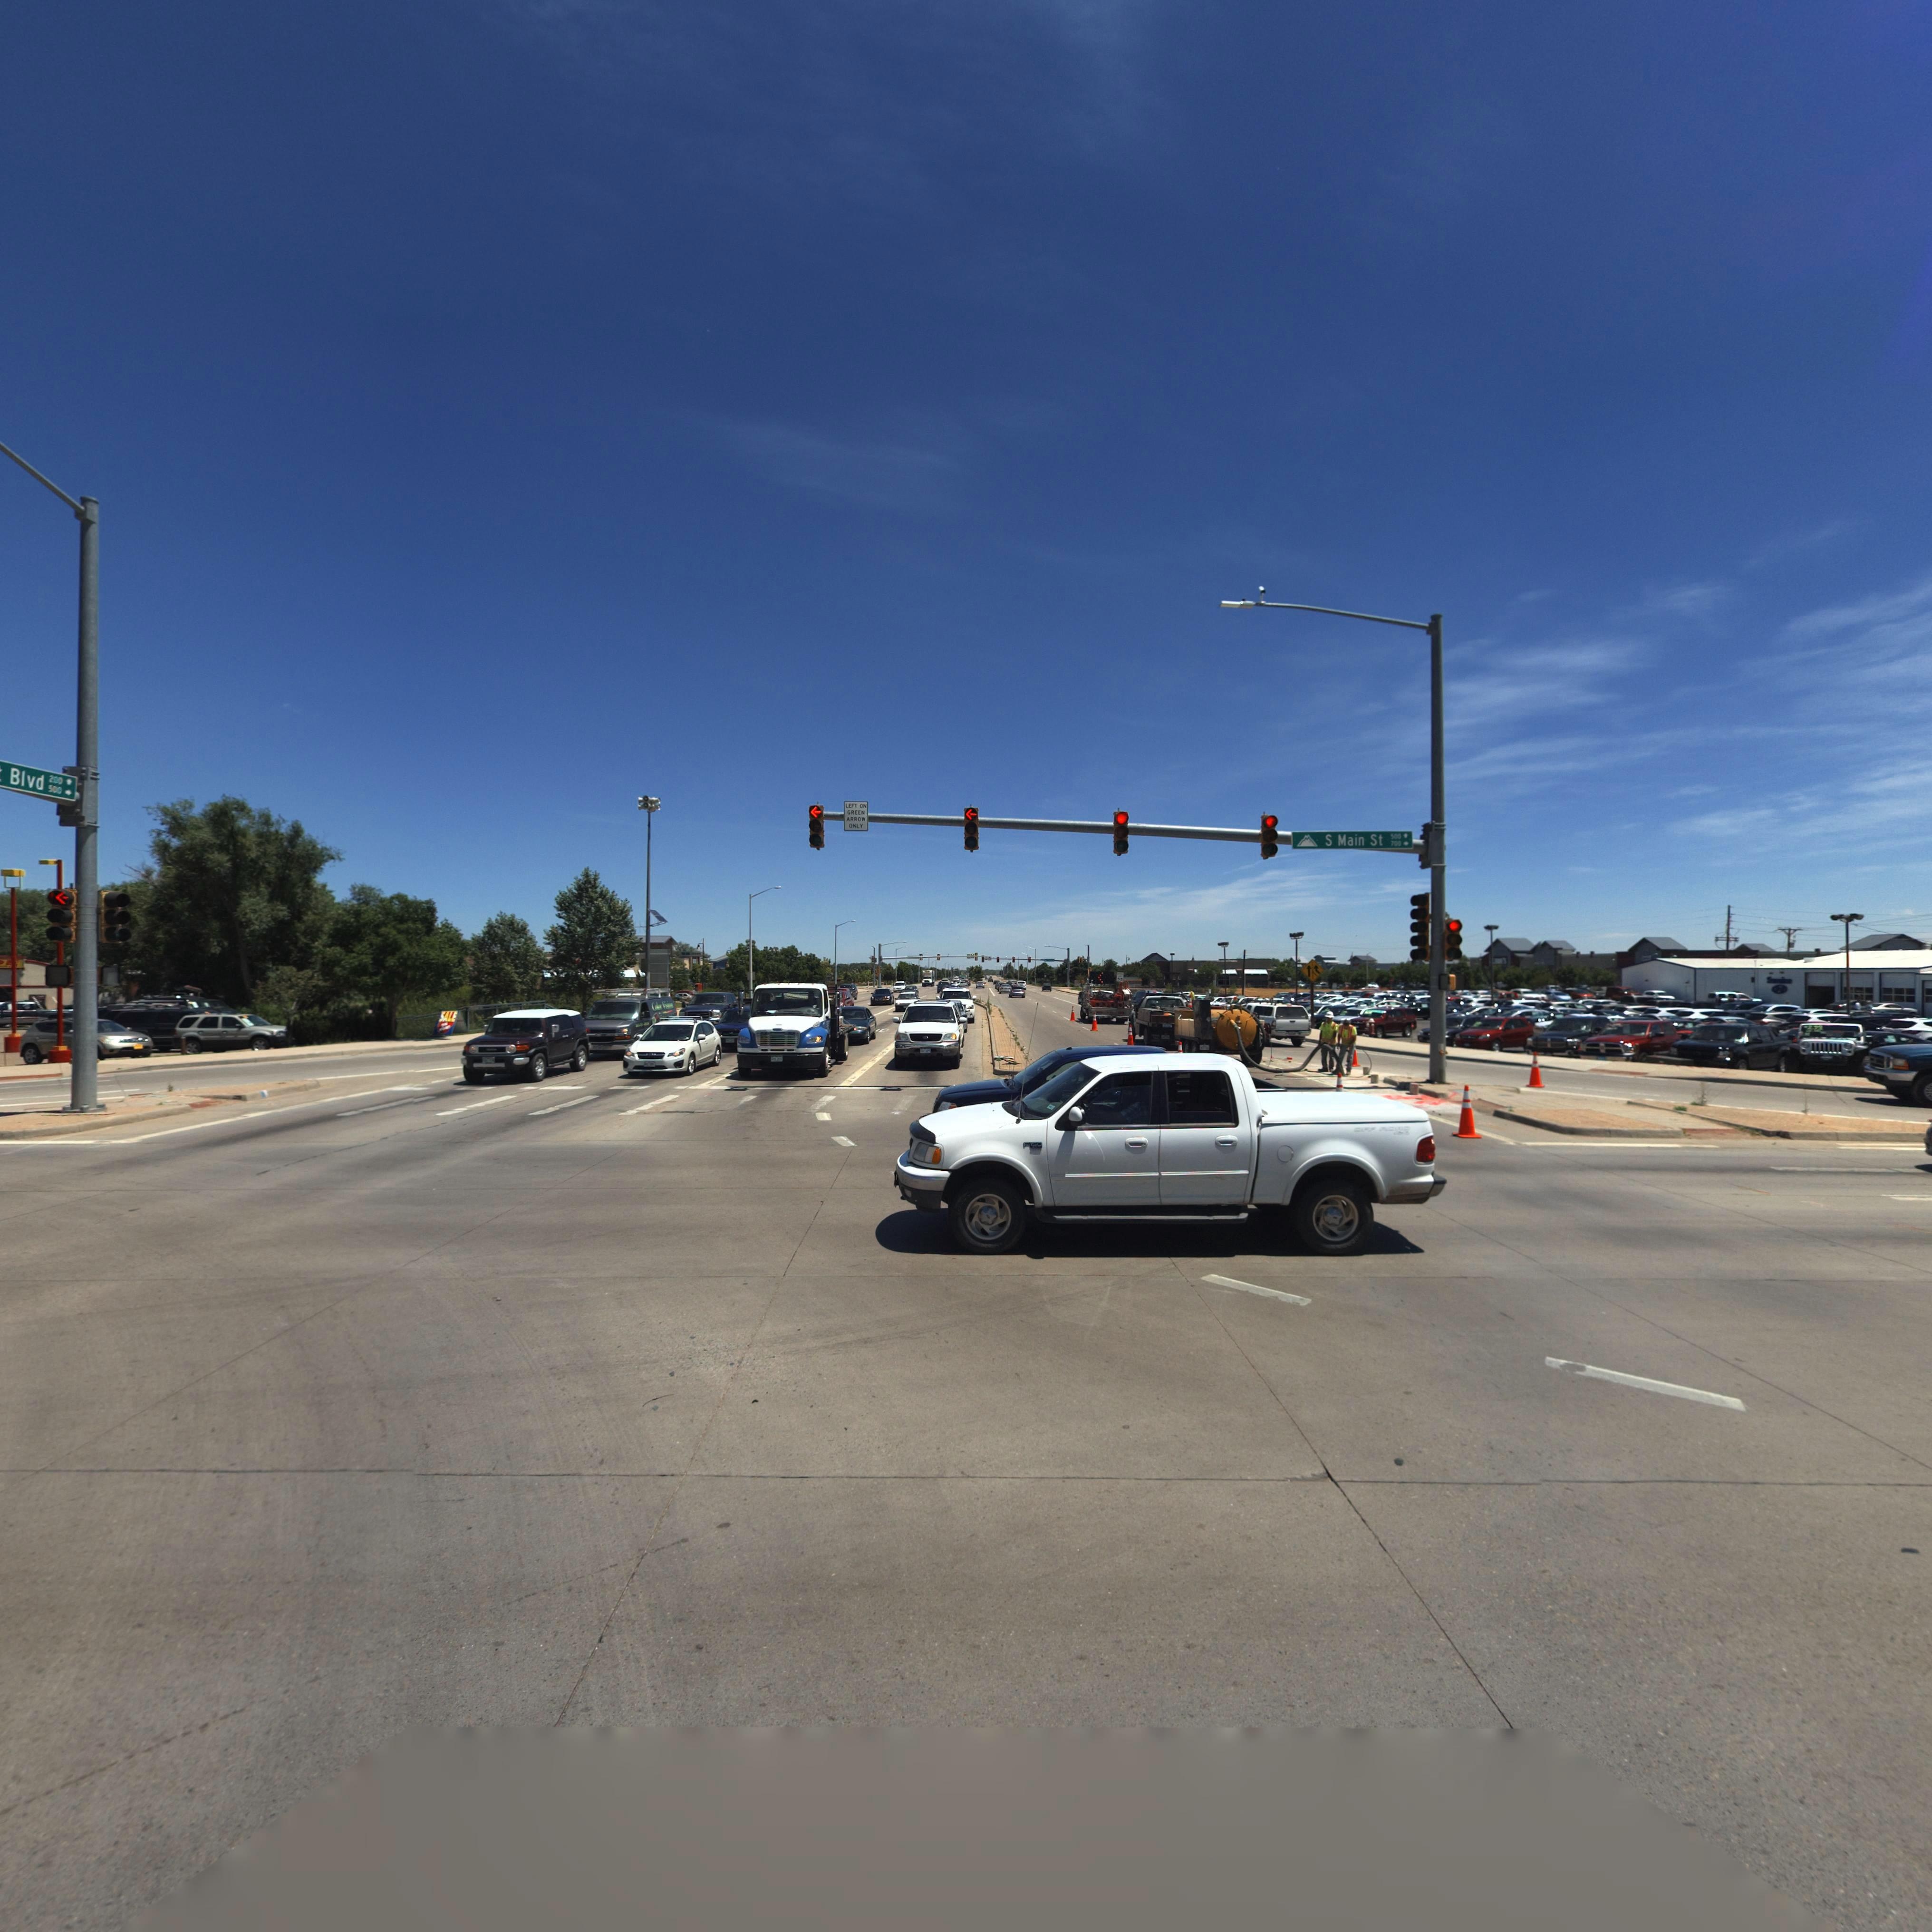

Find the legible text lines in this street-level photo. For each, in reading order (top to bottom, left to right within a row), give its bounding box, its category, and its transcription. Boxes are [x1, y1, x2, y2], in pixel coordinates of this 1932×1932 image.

[8, 766, 46, 792] StreetName: Blvd
[47, 774, 64, 786] StreetNumberRange: 200
[47, 783, 73, 797] StreetNumberRange: 500 ->
[1323, 833, 1385, 847] StreetName: S Main St
[1390, 832, 1402, 840] StreetNumberRange: 500
[1390, 840, 1410, 847] StreetNumberRange: 700 ->
[1765, 975, 1793, 984] BusinessName: S***i**